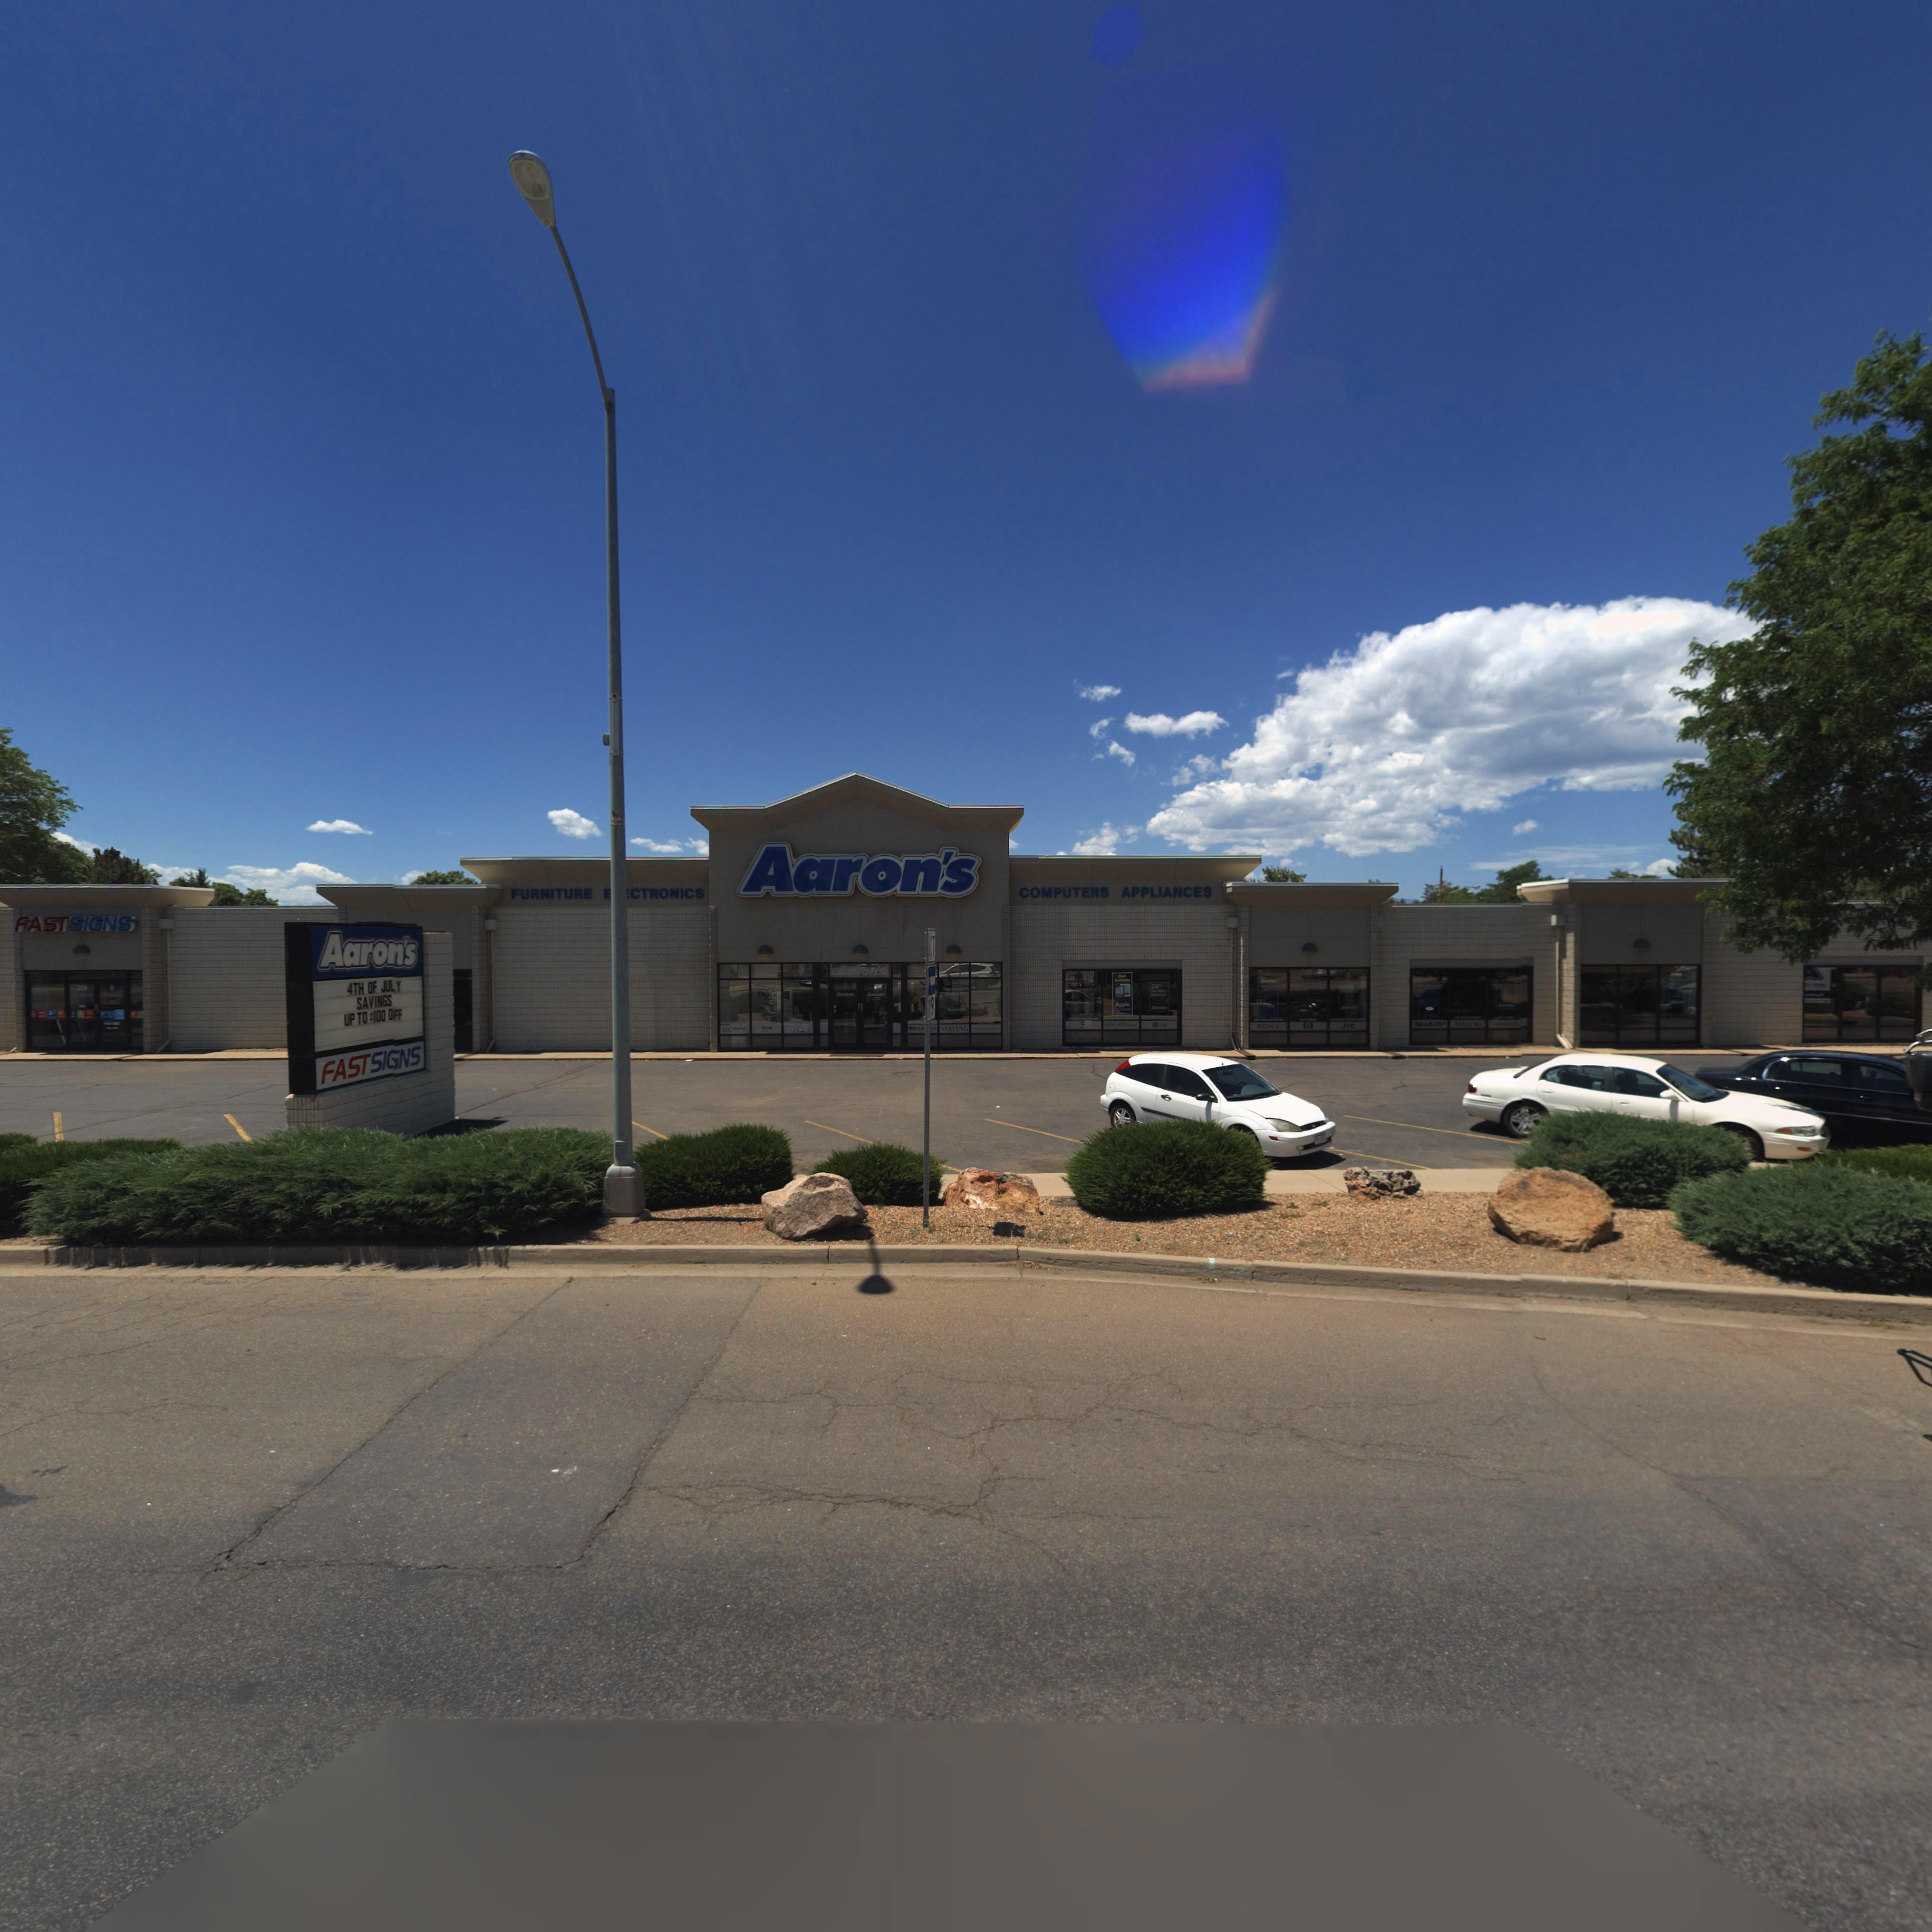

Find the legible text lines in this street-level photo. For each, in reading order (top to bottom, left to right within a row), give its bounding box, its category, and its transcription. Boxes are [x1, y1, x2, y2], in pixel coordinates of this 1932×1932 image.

[736, 842, 981, 897] BusinessName: Aaron's
[12, 914, 133, 933] BusinessName: FAST SIGNS
[316, 931, 419, 970] BusinessName: Aaron's
[836, 965, 884, 976] BusinessName: Aaron's
[836, 991, 854, 996] BusinessName: Aaron*s
[866, 992, 885, 996] BusinessName: Aaron*s
[319, 1044, 422, 1086] BusinessName: FAST SIGNS